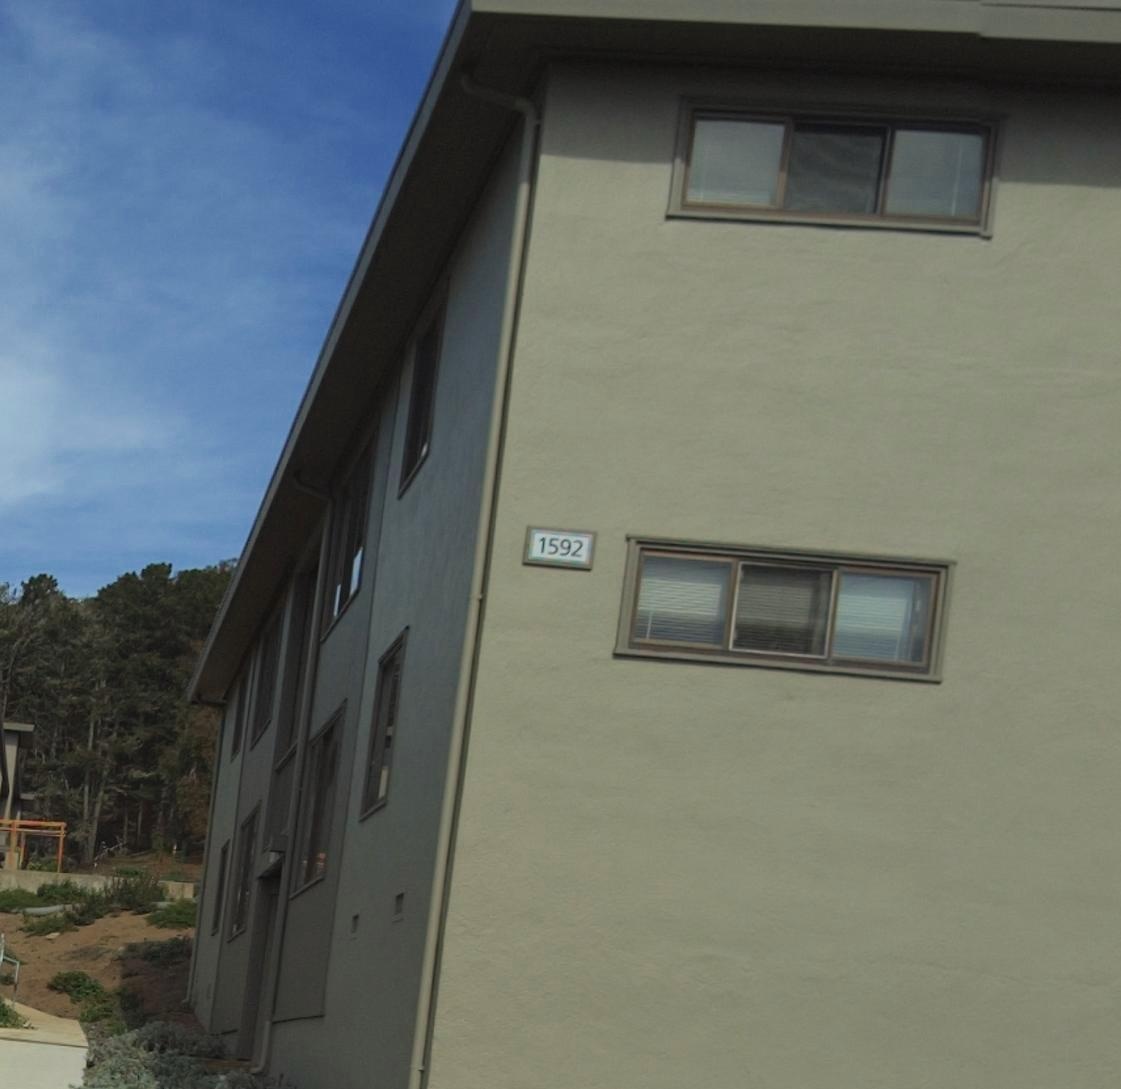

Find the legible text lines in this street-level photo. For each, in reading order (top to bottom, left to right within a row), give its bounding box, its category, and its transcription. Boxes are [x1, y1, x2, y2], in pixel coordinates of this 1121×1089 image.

[537, 534, 586, 561] StreetNumber: 1592